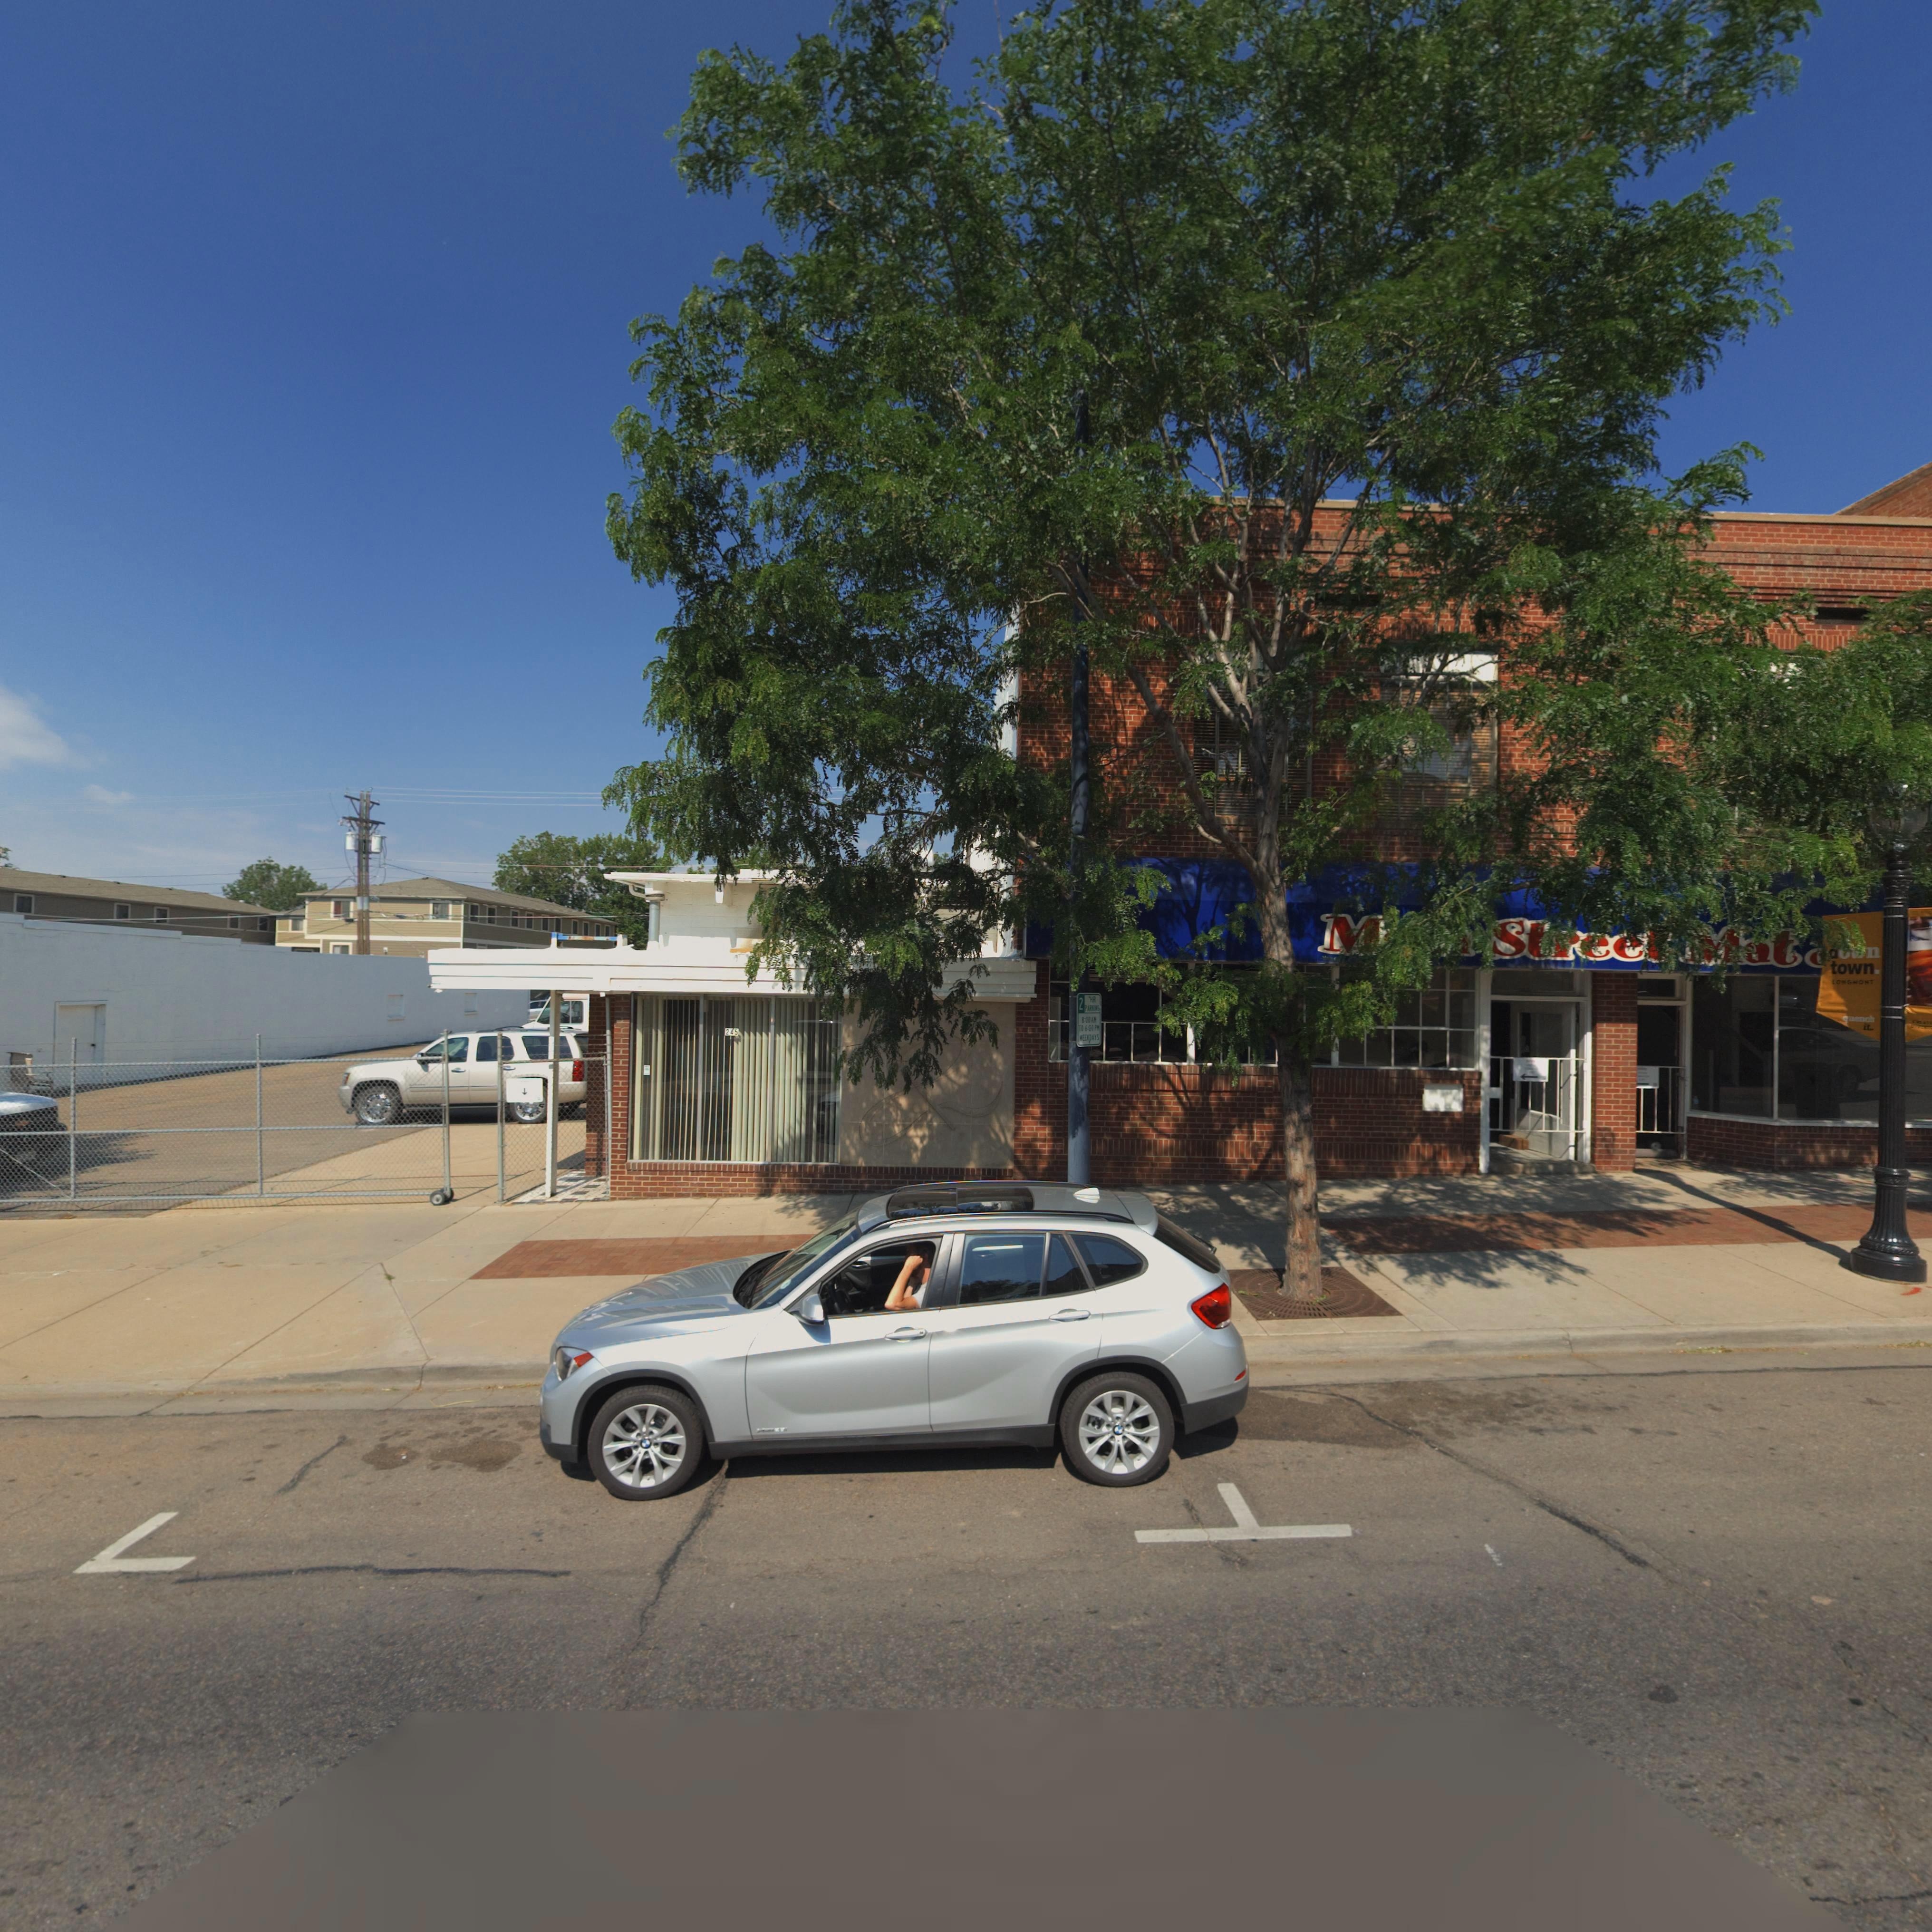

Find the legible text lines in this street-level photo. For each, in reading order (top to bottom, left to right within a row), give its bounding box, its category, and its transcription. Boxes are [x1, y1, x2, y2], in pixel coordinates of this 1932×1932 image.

[1312, 904, 1803, 968] BusinessName: M*** SR*EE* *at
[725, 1028, 738, 1035] StreetNumber: 245